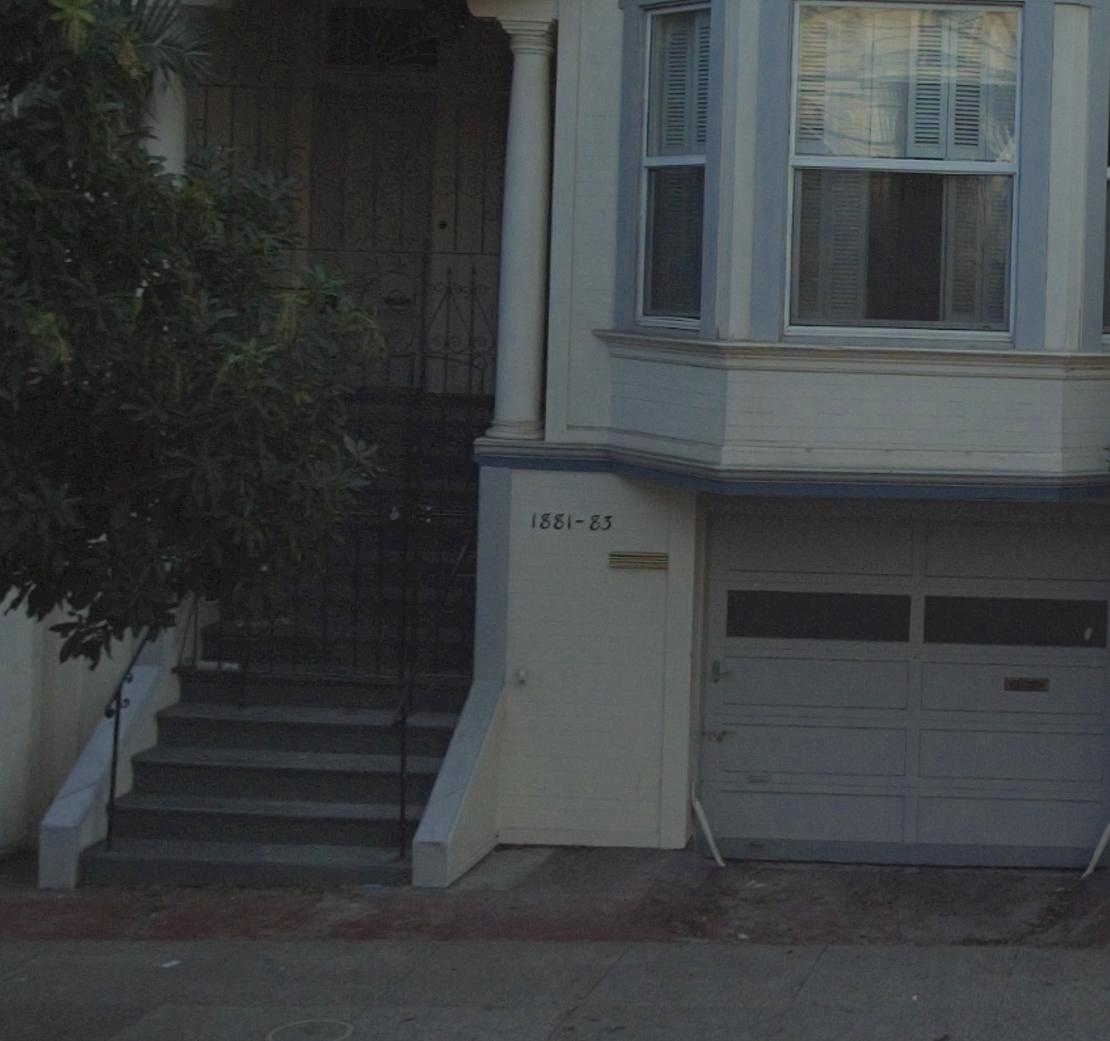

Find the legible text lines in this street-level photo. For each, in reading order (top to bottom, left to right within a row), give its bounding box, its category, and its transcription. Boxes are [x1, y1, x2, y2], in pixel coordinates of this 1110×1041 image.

[529, 511, 574, 532] StreetNumber: 1881
[587, 512, 615, 533] StreetNumber: 83